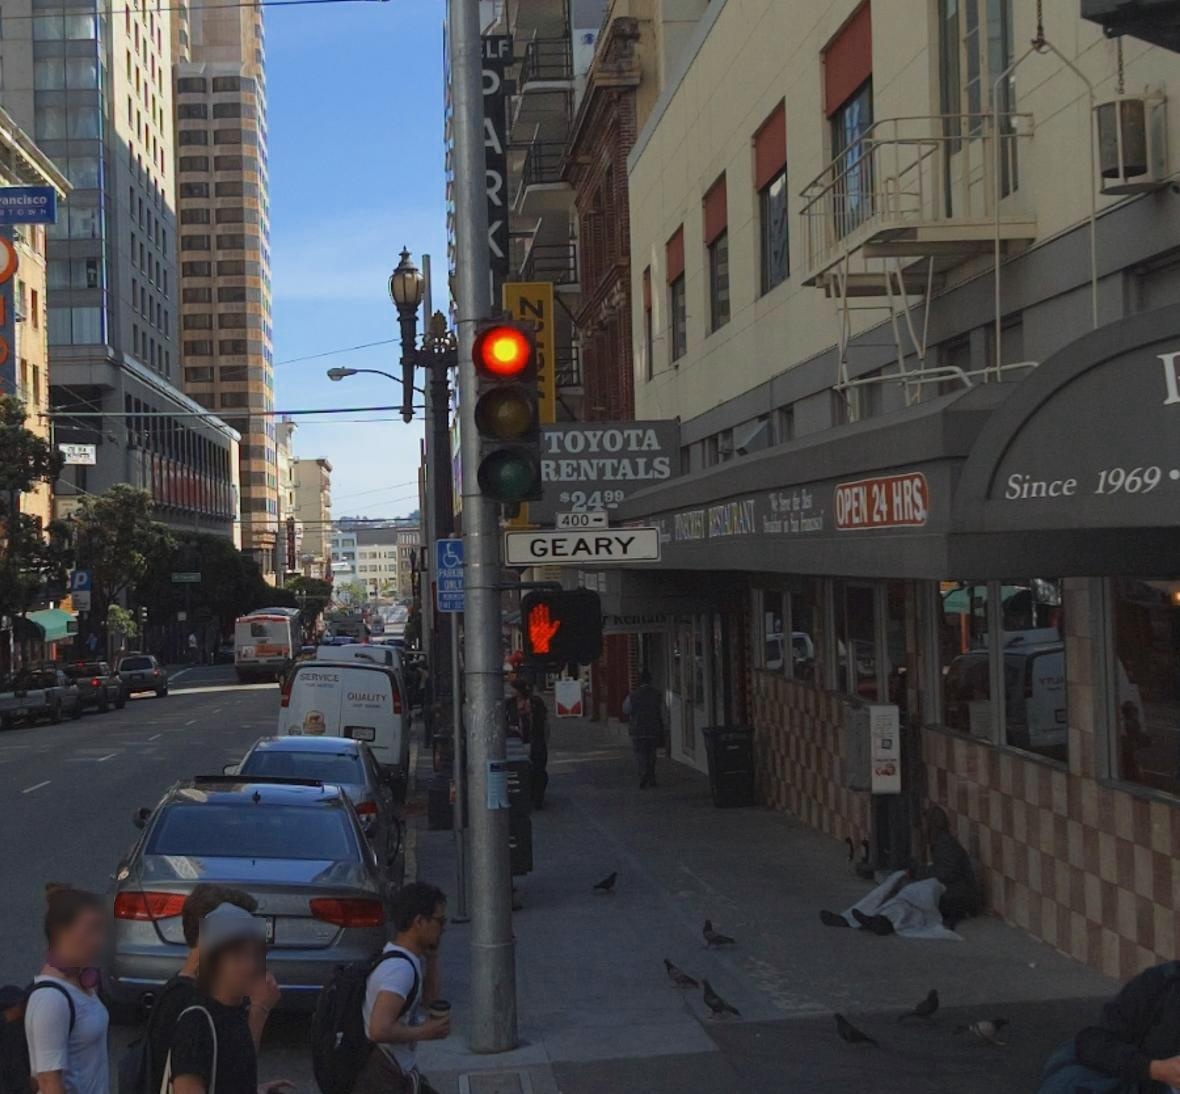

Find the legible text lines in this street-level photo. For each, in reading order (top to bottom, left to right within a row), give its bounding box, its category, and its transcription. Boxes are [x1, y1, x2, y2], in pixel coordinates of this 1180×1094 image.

[484, 37, 512, 61] None: LF
[0, 192, 51, 208] BusinessName: anchco
[517, 292, 546, 323] BusinessName: N
[542, 425, 666, 456] BusinessName: TOYOTA
[540, 455, 673, 484] BusinessName: RENTALS
[569, 488, 608, 514] None: 24
[602, 487, 627, 504] None: 99
[832, 474, 929, 529] None: OPEN 24 HRS
[1002, 462, 1165, 504] None: Since 1969
[559, 512, 606, 529] StreetNumberRange: 400->
[526, 534, 639, 560] StreetName: GEARY
[70, 569, 90, 591] None: P
[297, 671, 342, 684] None: SERVICE
[343, 690, 390, 704] None: QUALITY